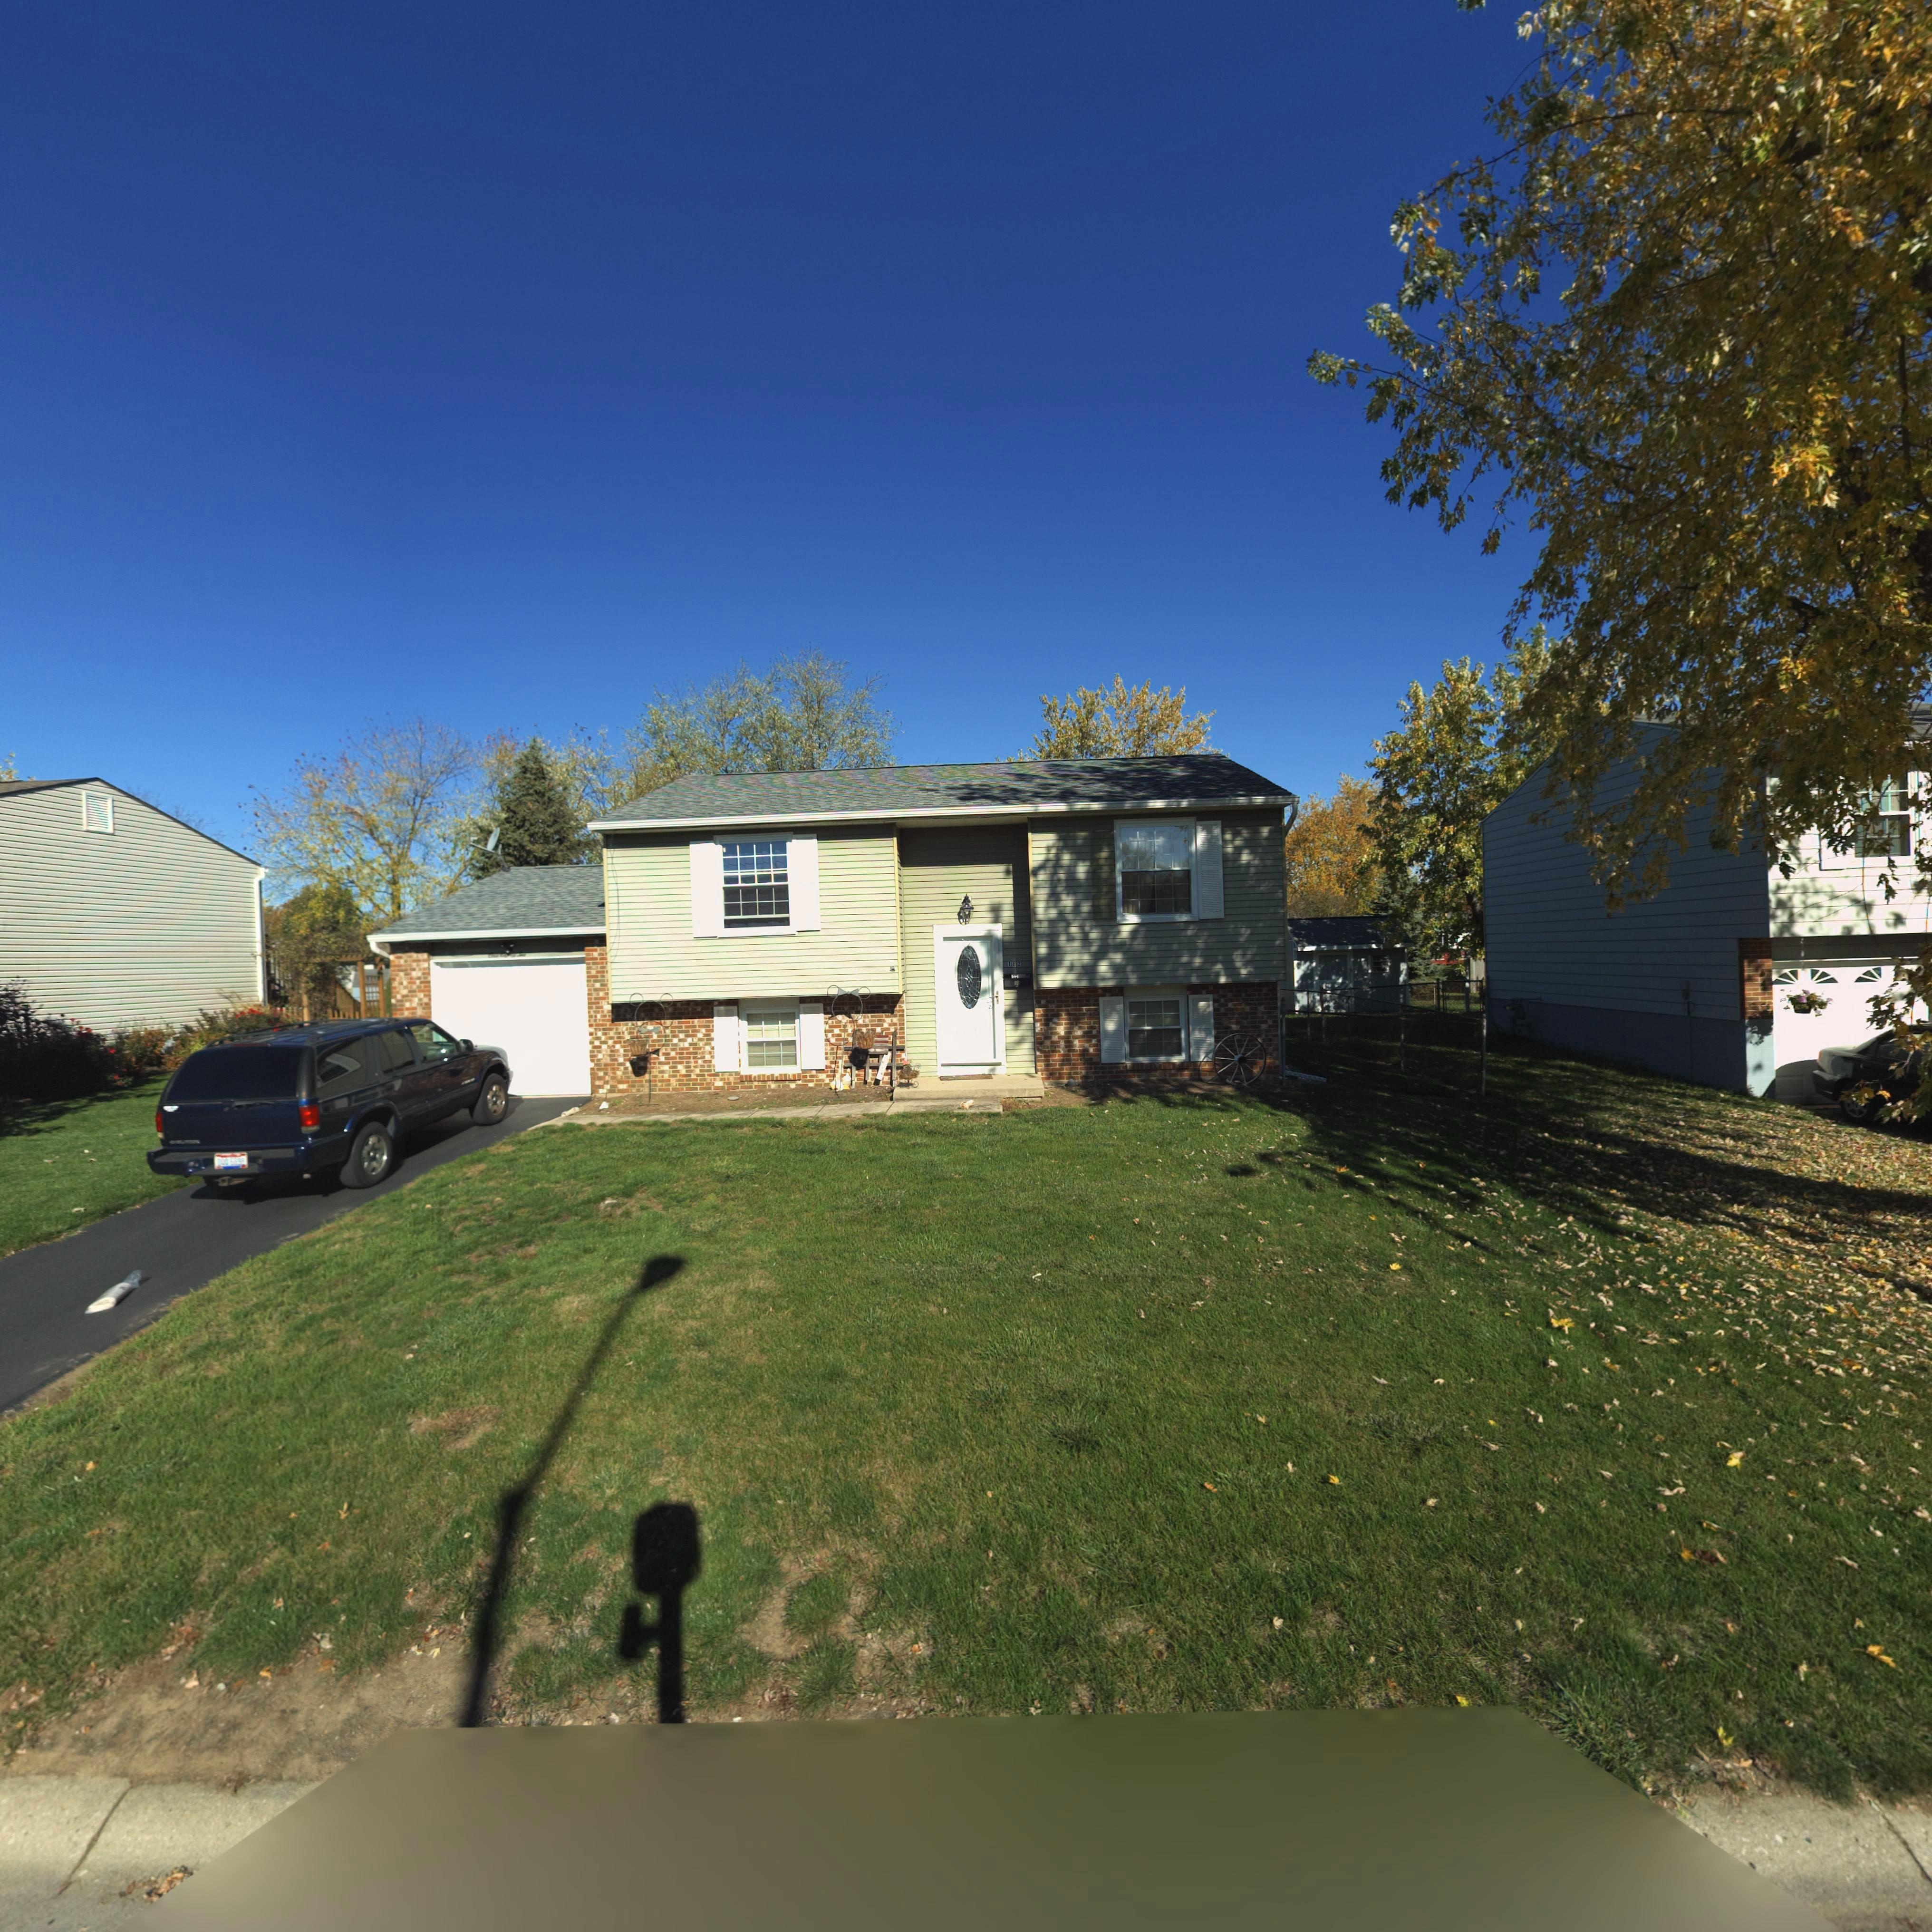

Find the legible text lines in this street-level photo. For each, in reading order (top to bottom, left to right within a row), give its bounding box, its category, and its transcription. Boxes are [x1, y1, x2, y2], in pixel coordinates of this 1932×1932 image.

[1007, 960, 1021, 967] StreetNumber: 182